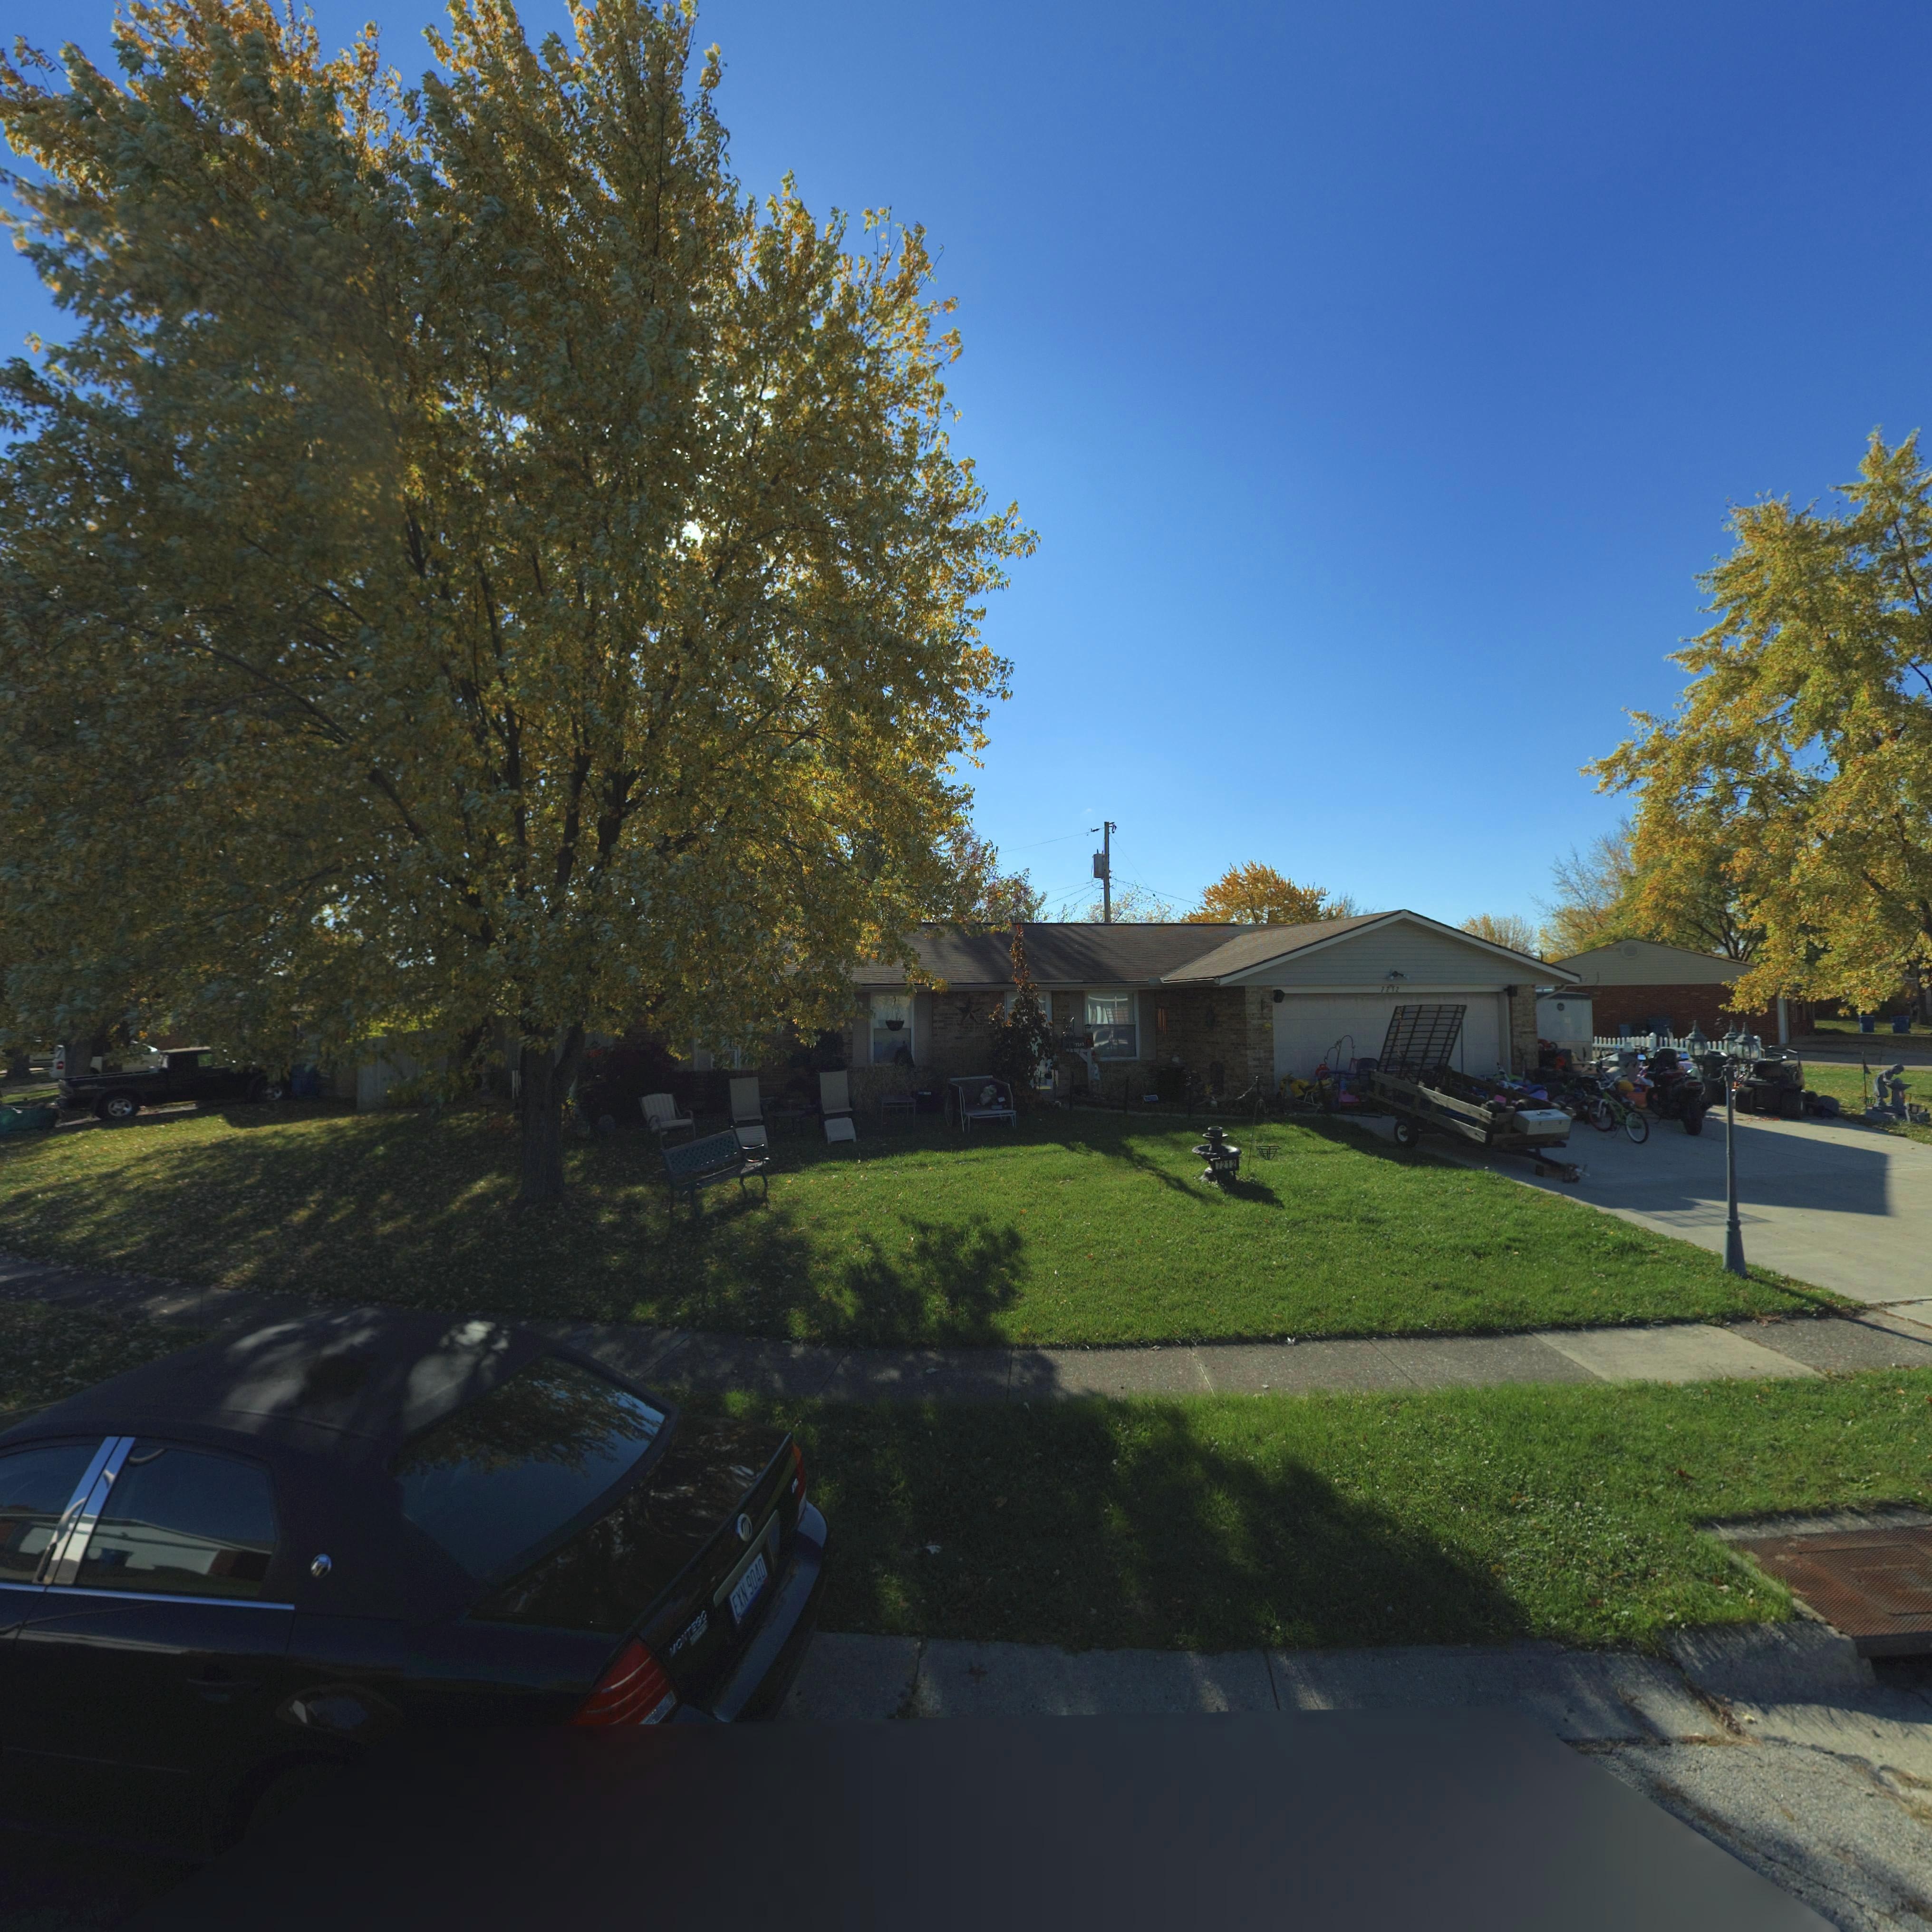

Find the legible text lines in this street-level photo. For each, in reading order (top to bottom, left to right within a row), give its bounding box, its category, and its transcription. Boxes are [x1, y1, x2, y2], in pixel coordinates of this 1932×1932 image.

[1380, 985, 1401, 994] StreetNumber: 7212
[1073, 1041, 1085, 1048] StreetNumber: 7***
[1216, 1159, 1237, 1171] StreetNumber: 7212